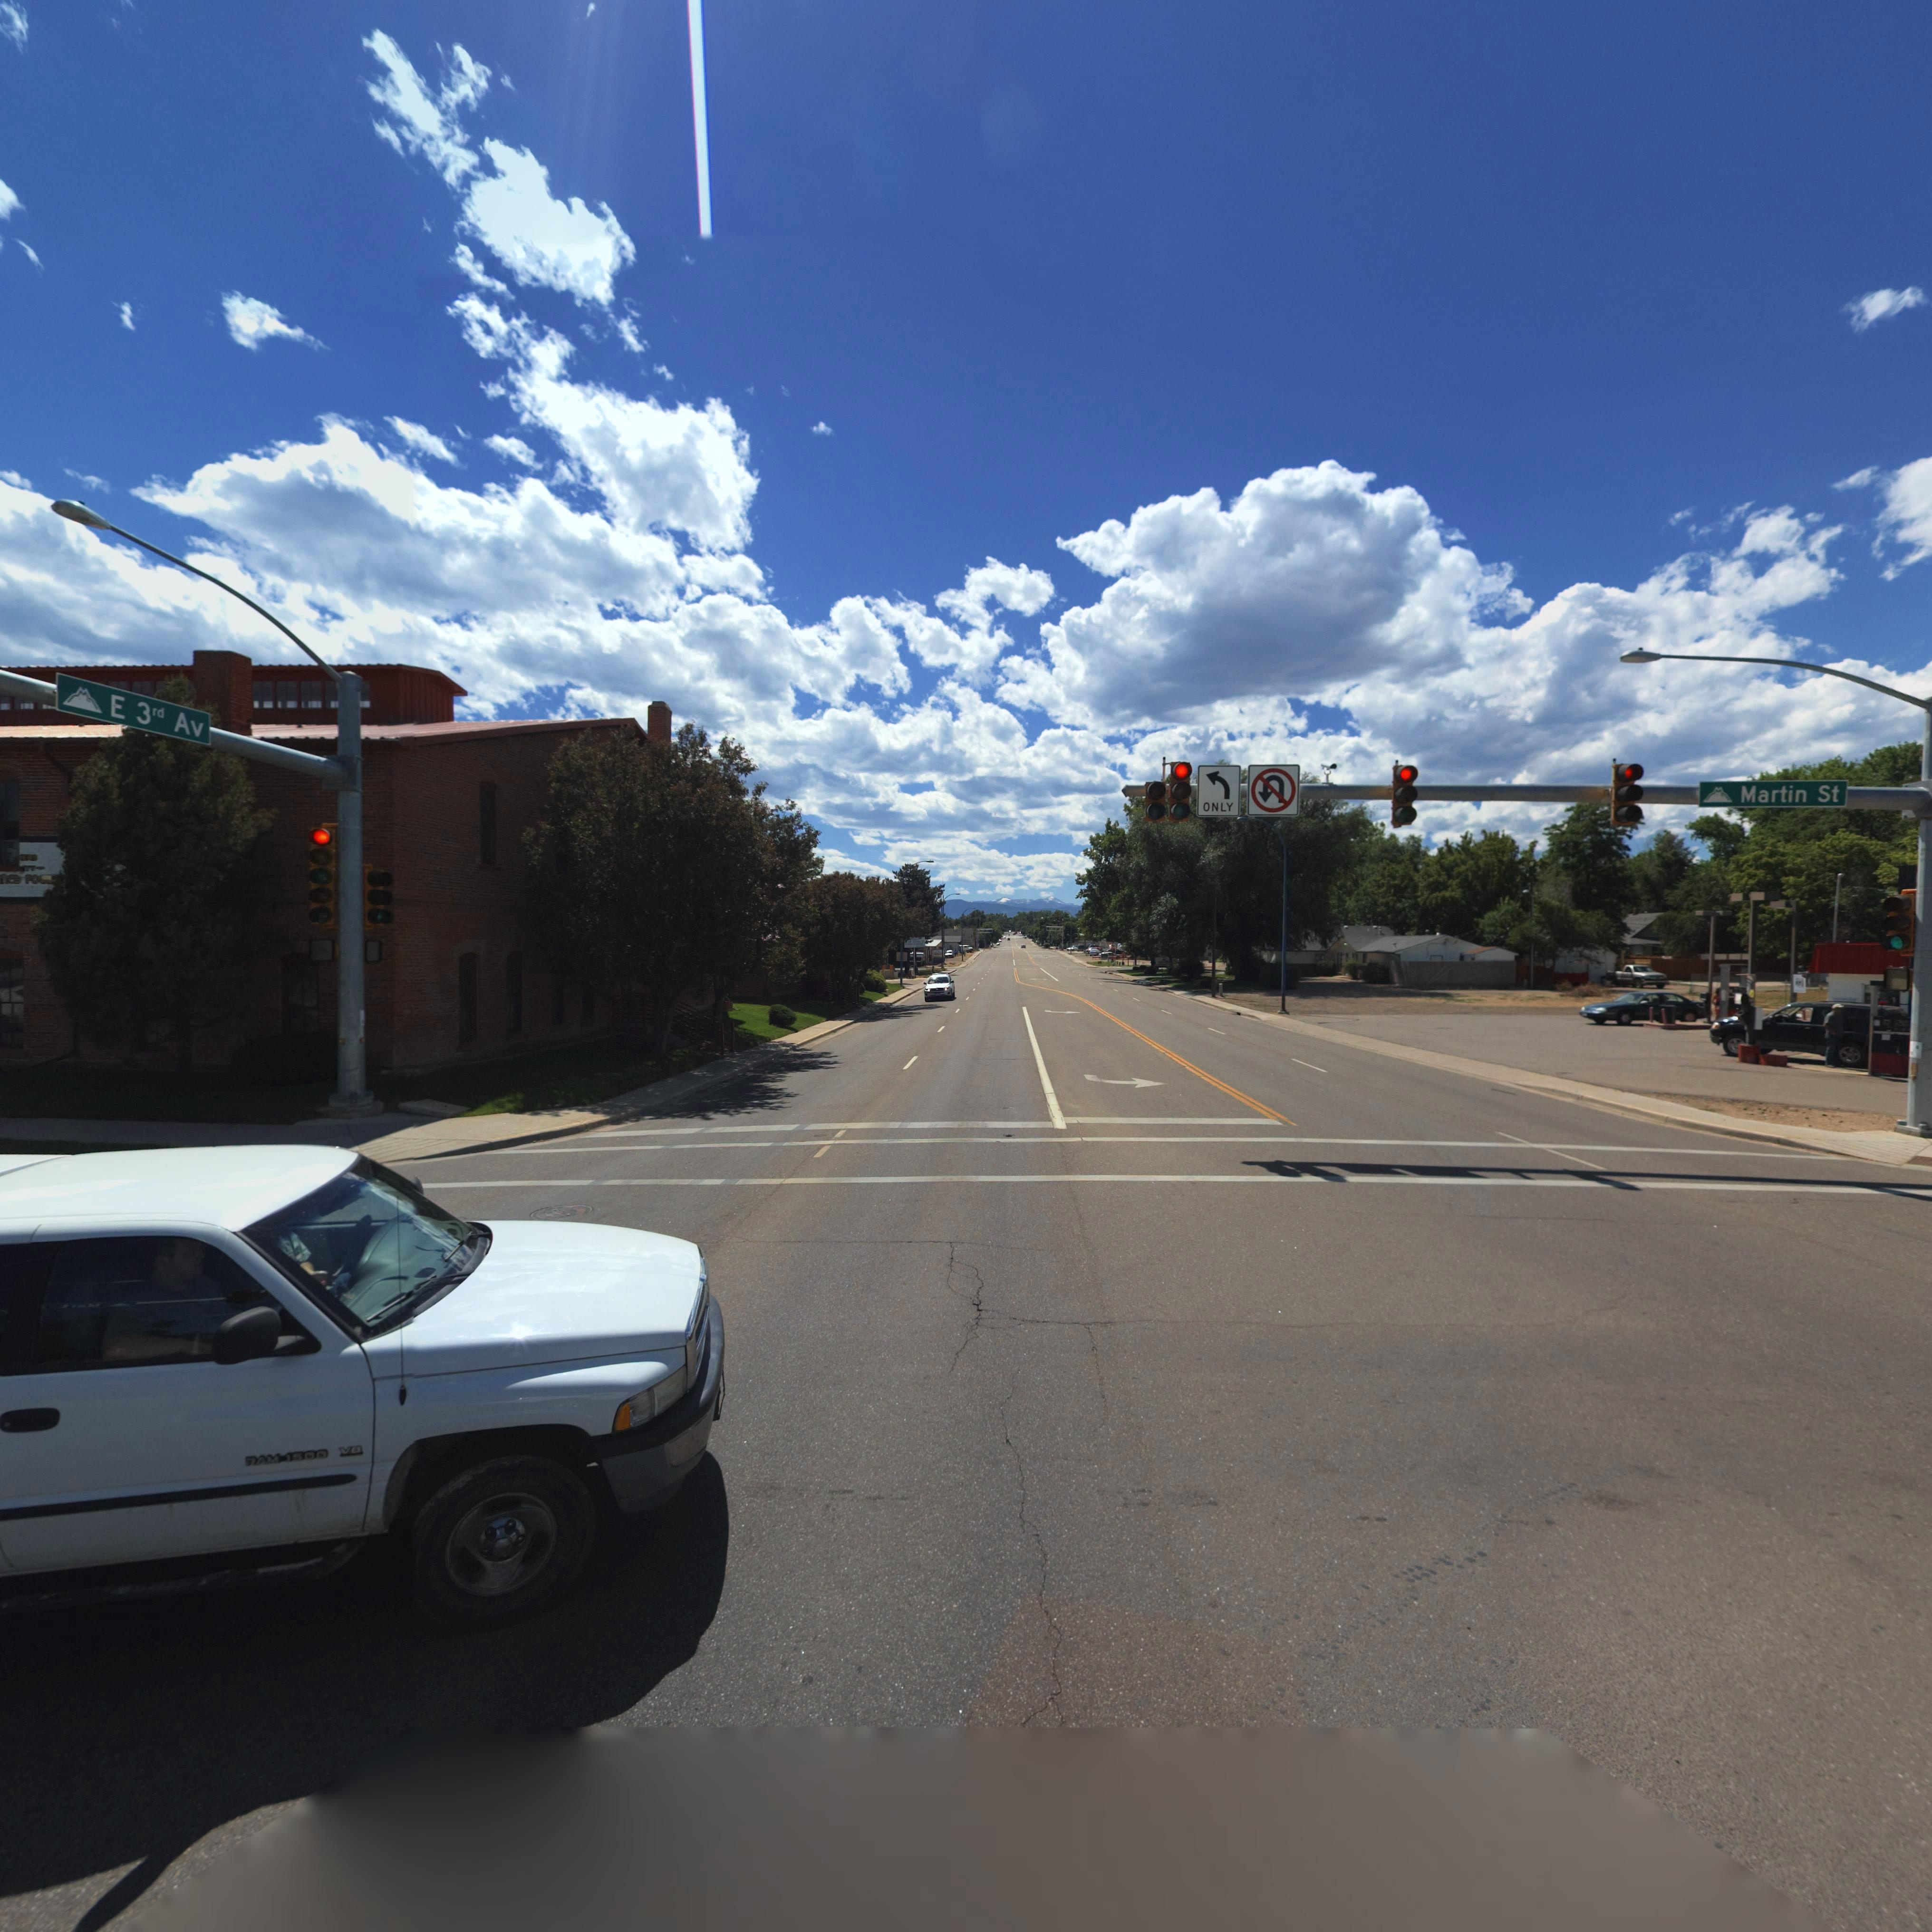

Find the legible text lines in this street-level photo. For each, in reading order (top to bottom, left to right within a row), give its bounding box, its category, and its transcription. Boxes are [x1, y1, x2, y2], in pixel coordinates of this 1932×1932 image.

[109, 693, 205, 739] StreetName: E 3rd Av
[1740, 784, 1839, 803] StreetName: Martin St